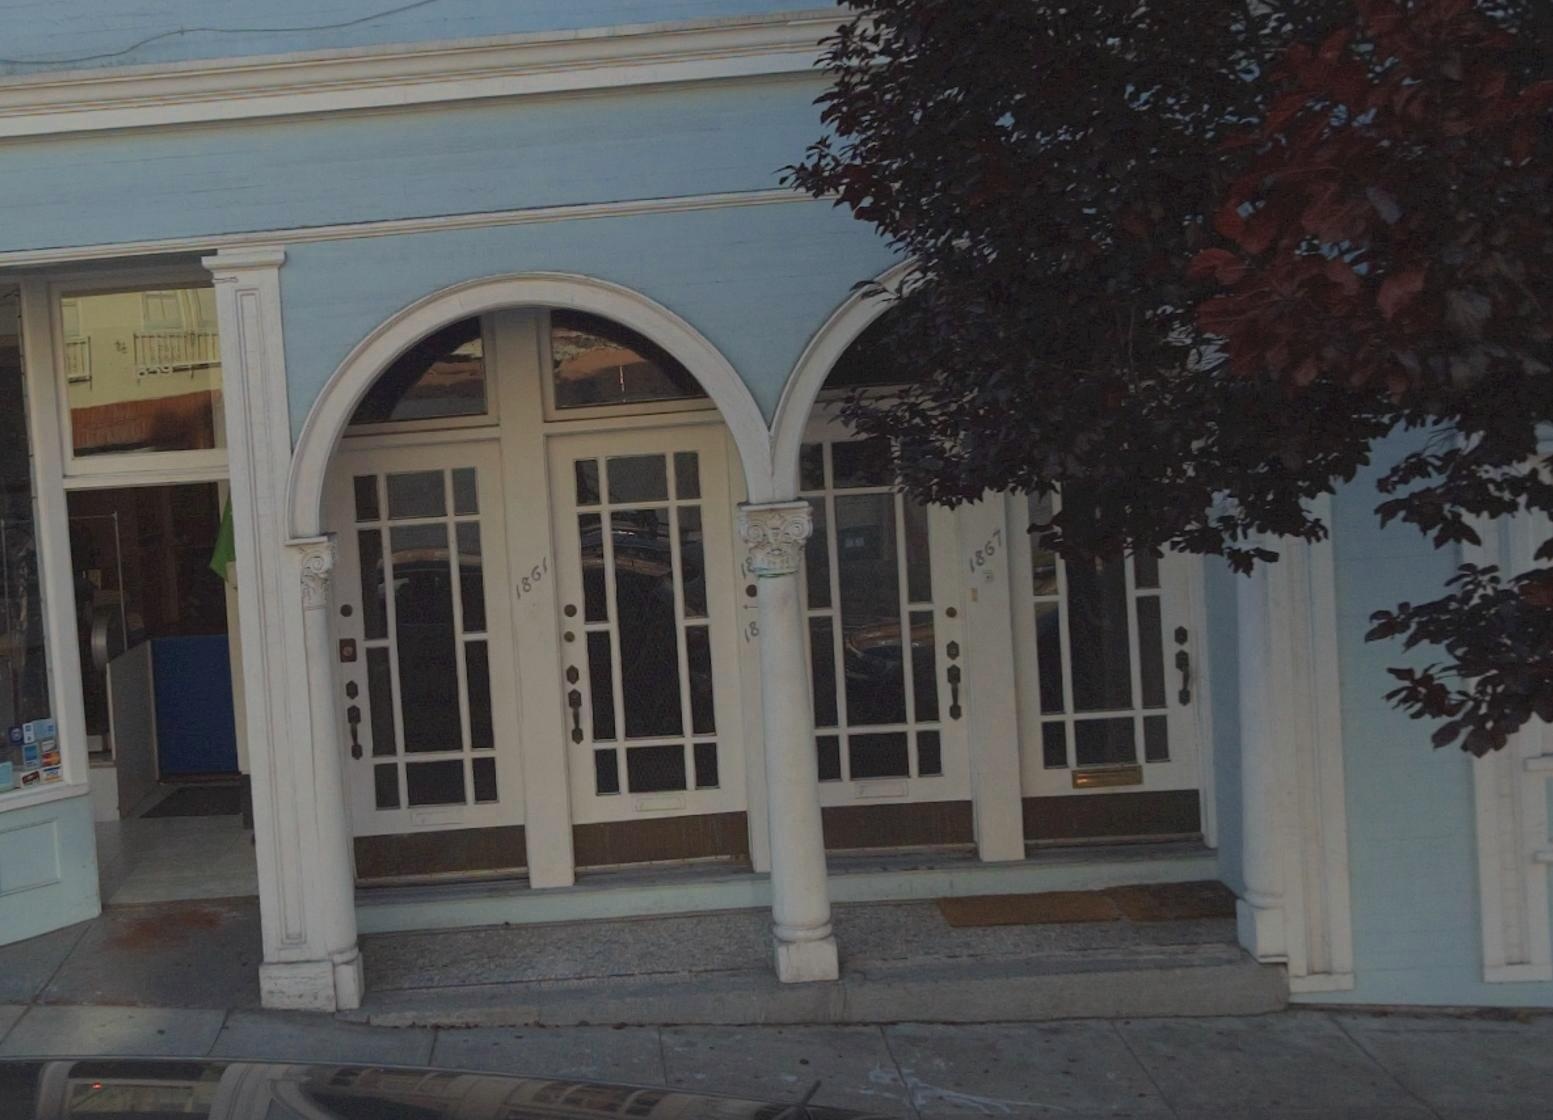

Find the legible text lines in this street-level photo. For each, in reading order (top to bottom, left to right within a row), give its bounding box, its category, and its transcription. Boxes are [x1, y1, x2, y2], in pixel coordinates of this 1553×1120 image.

[511, 551, 553, 606] StreetNumber: 1861
[966, 524, 1007, 580] StreetNumber: 1867
[739, 613, 763, 648] StreetNumber: 18